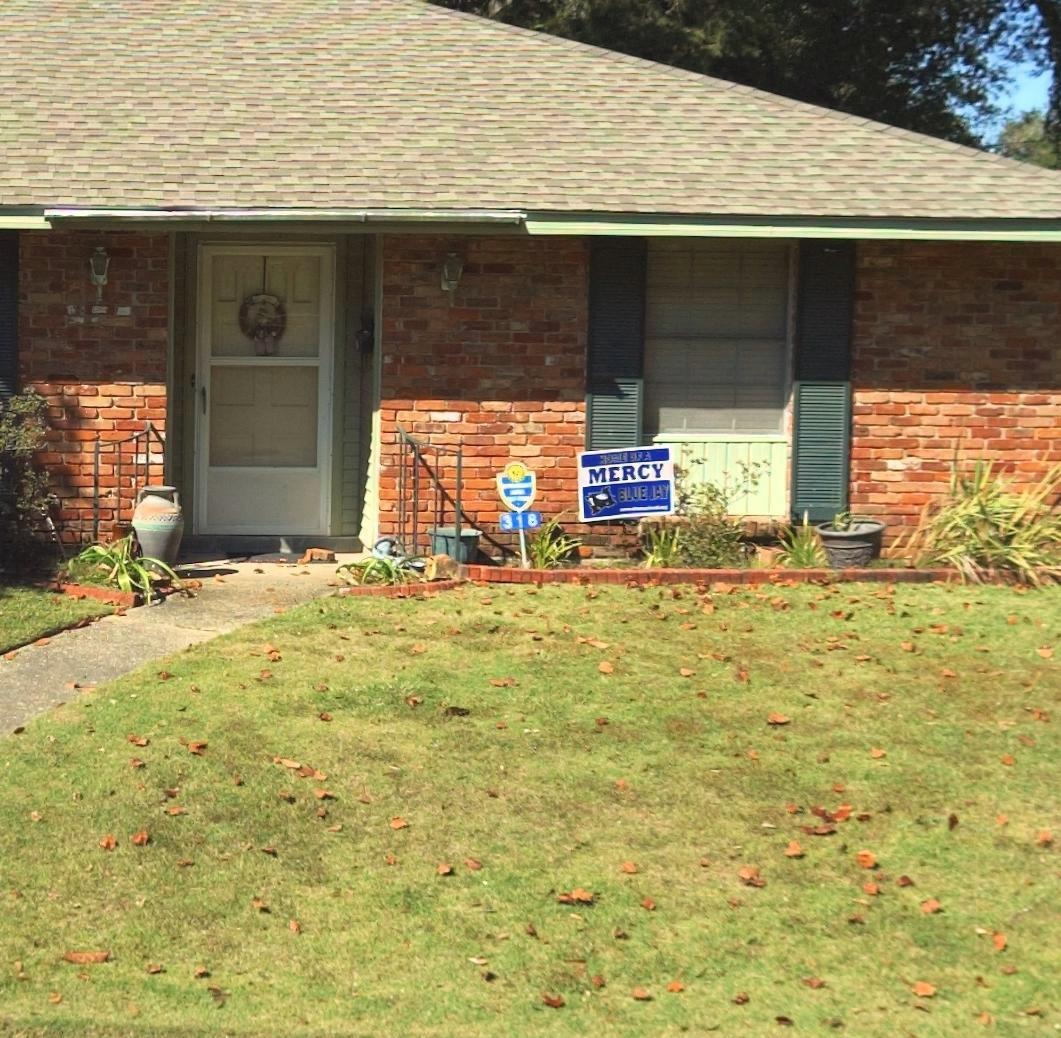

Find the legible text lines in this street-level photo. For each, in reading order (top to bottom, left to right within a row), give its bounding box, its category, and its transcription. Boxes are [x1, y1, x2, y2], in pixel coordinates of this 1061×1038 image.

[586, 461, 668, 486] None: MERCY
[616, 481, 672, 505] None: BLUE JAY
[500, 510, 540, 533] StreetNumber: 318